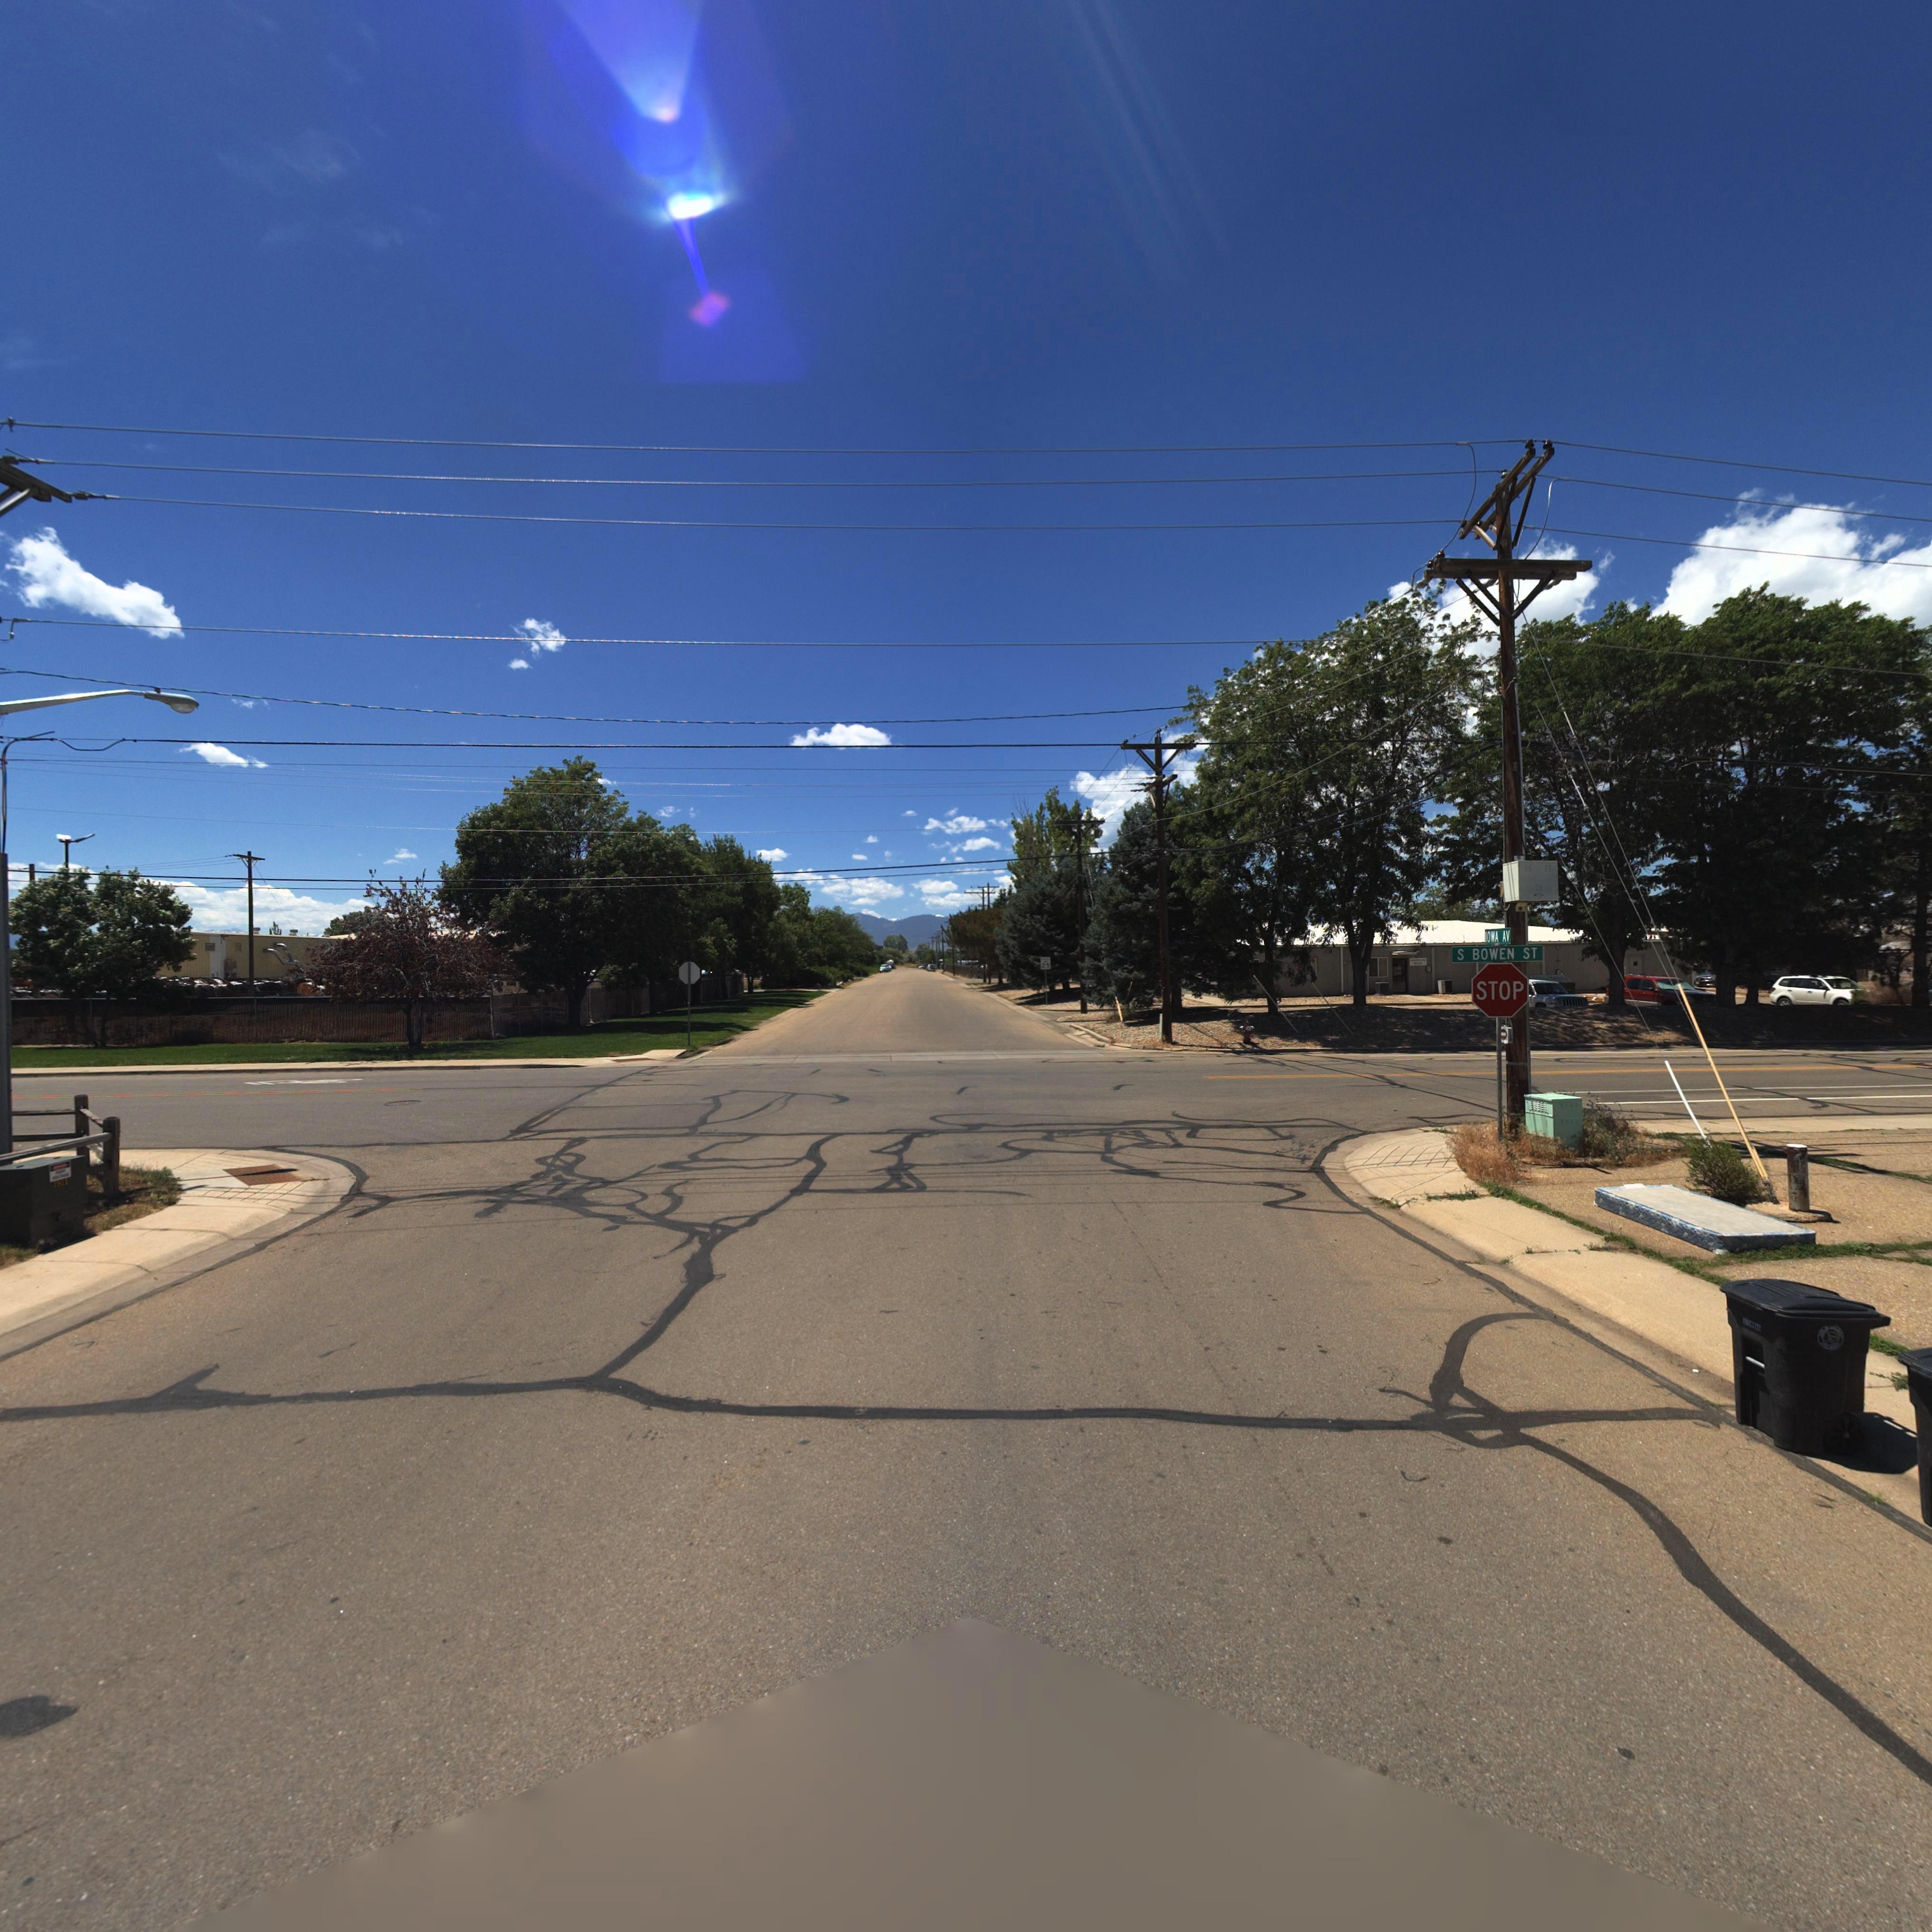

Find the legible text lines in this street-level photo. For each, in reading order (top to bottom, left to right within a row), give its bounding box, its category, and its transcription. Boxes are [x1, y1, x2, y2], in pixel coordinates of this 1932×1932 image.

[1485, 929, 1510, 942] StreetName: IOWA AV
[1457, 947, 1537, 961] StreetName: S BOWEN ST